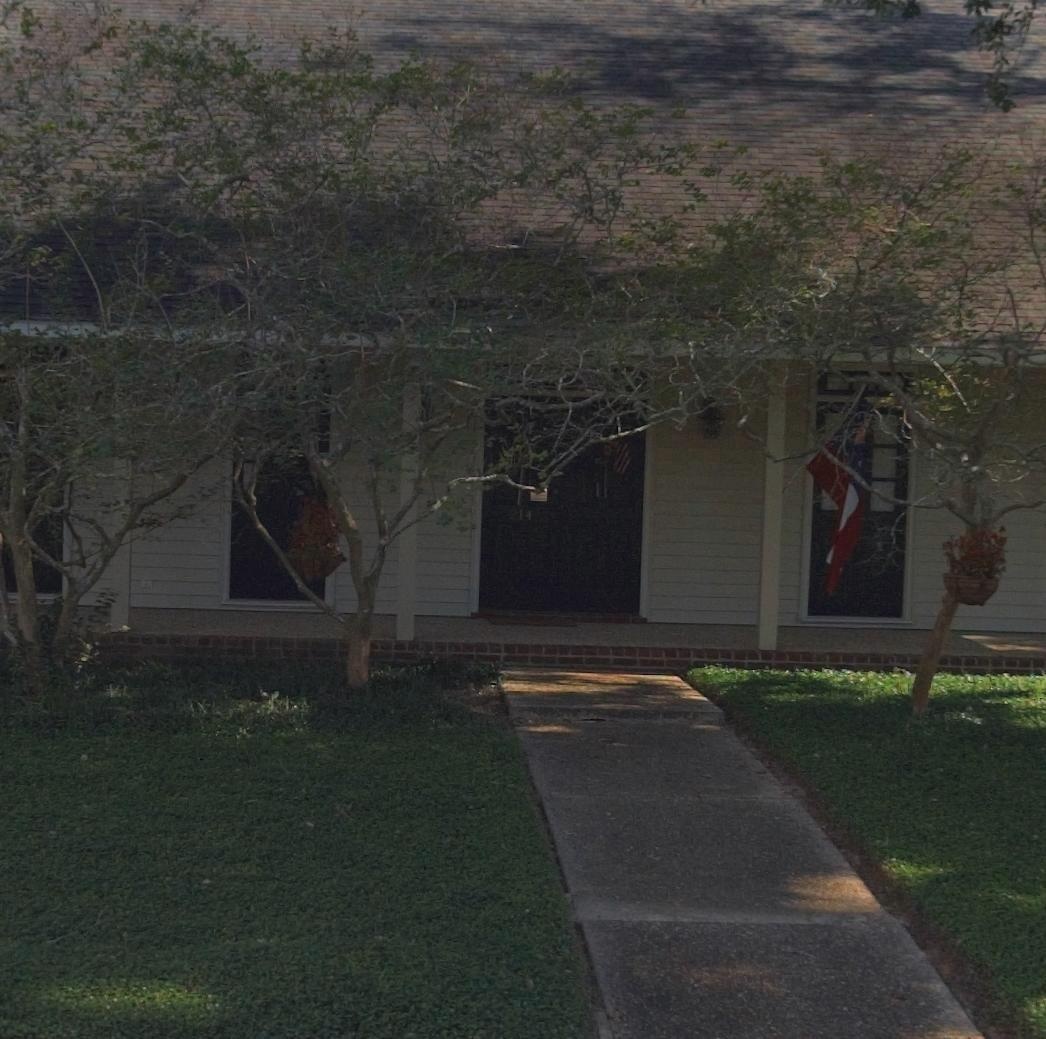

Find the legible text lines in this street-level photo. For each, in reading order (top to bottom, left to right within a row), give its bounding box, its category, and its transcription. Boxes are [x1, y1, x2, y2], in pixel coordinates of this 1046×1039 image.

[508, 508, 533, 521] StreetNumber: 214